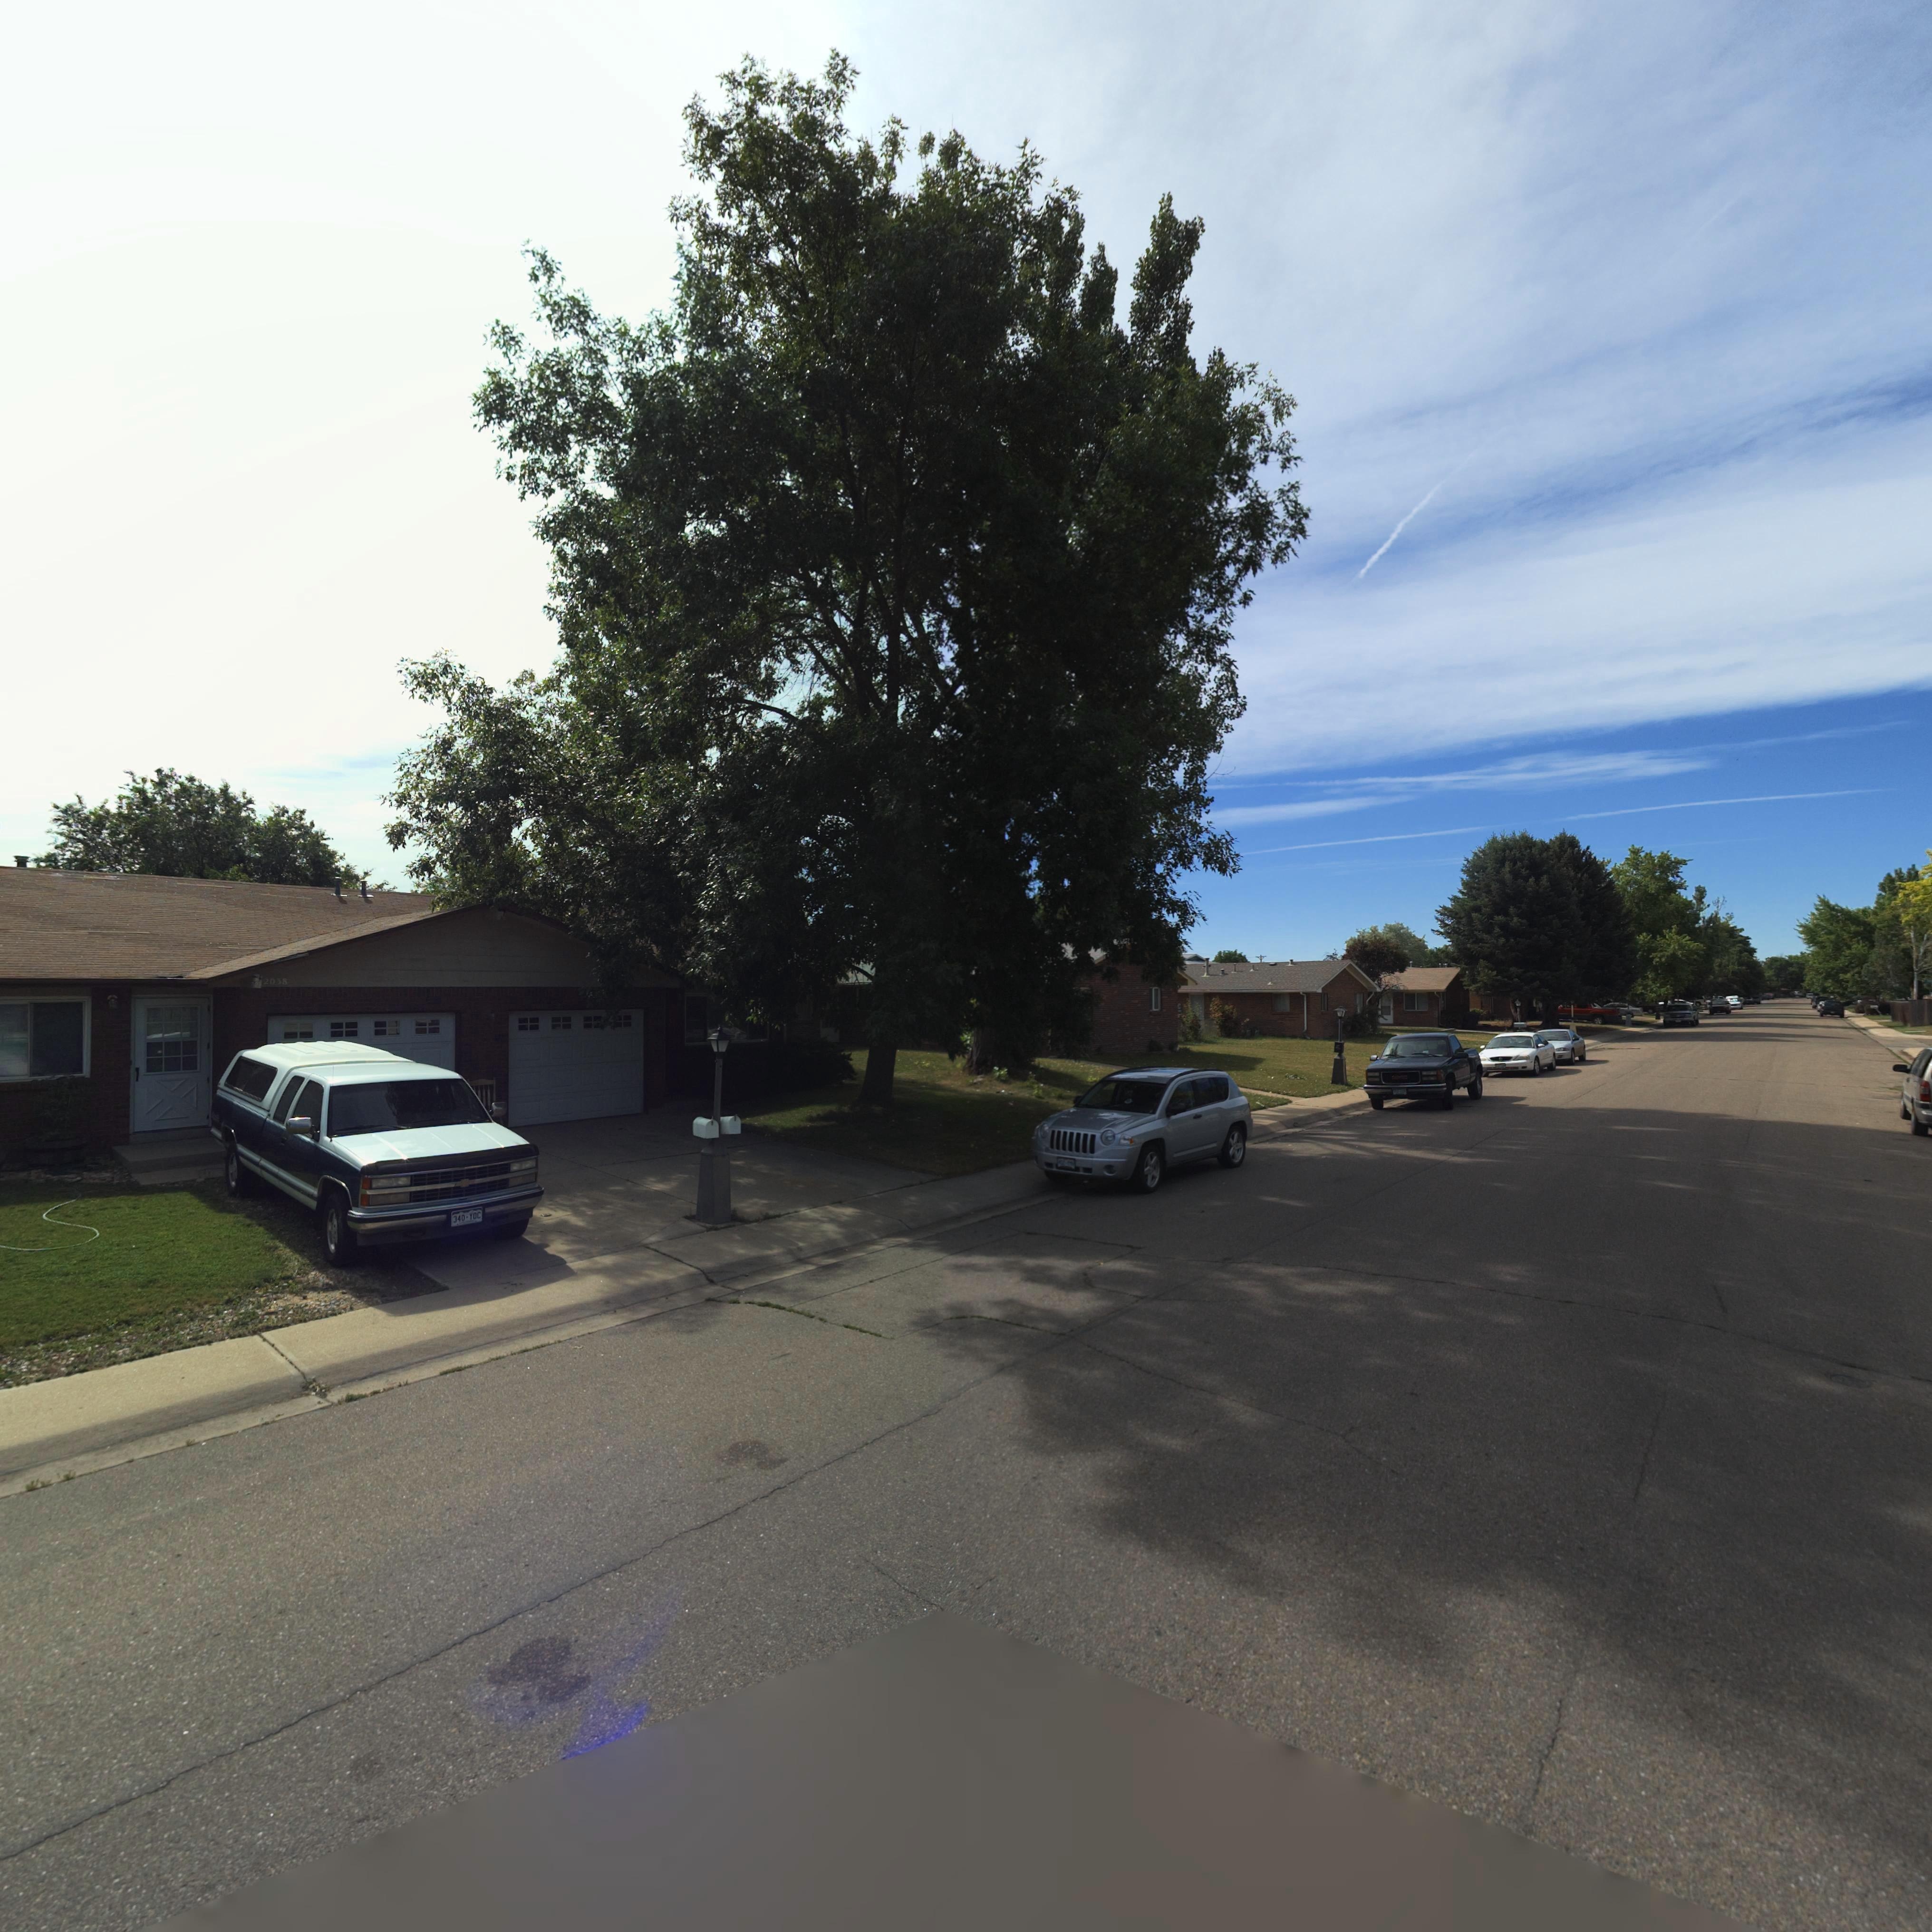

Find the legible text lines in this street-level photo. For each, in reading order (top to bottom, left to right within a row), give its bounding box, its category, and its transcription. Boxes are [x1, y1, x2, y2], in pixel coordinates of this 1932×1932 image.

[263, 978, 287, 985] StreetNumber: 2038